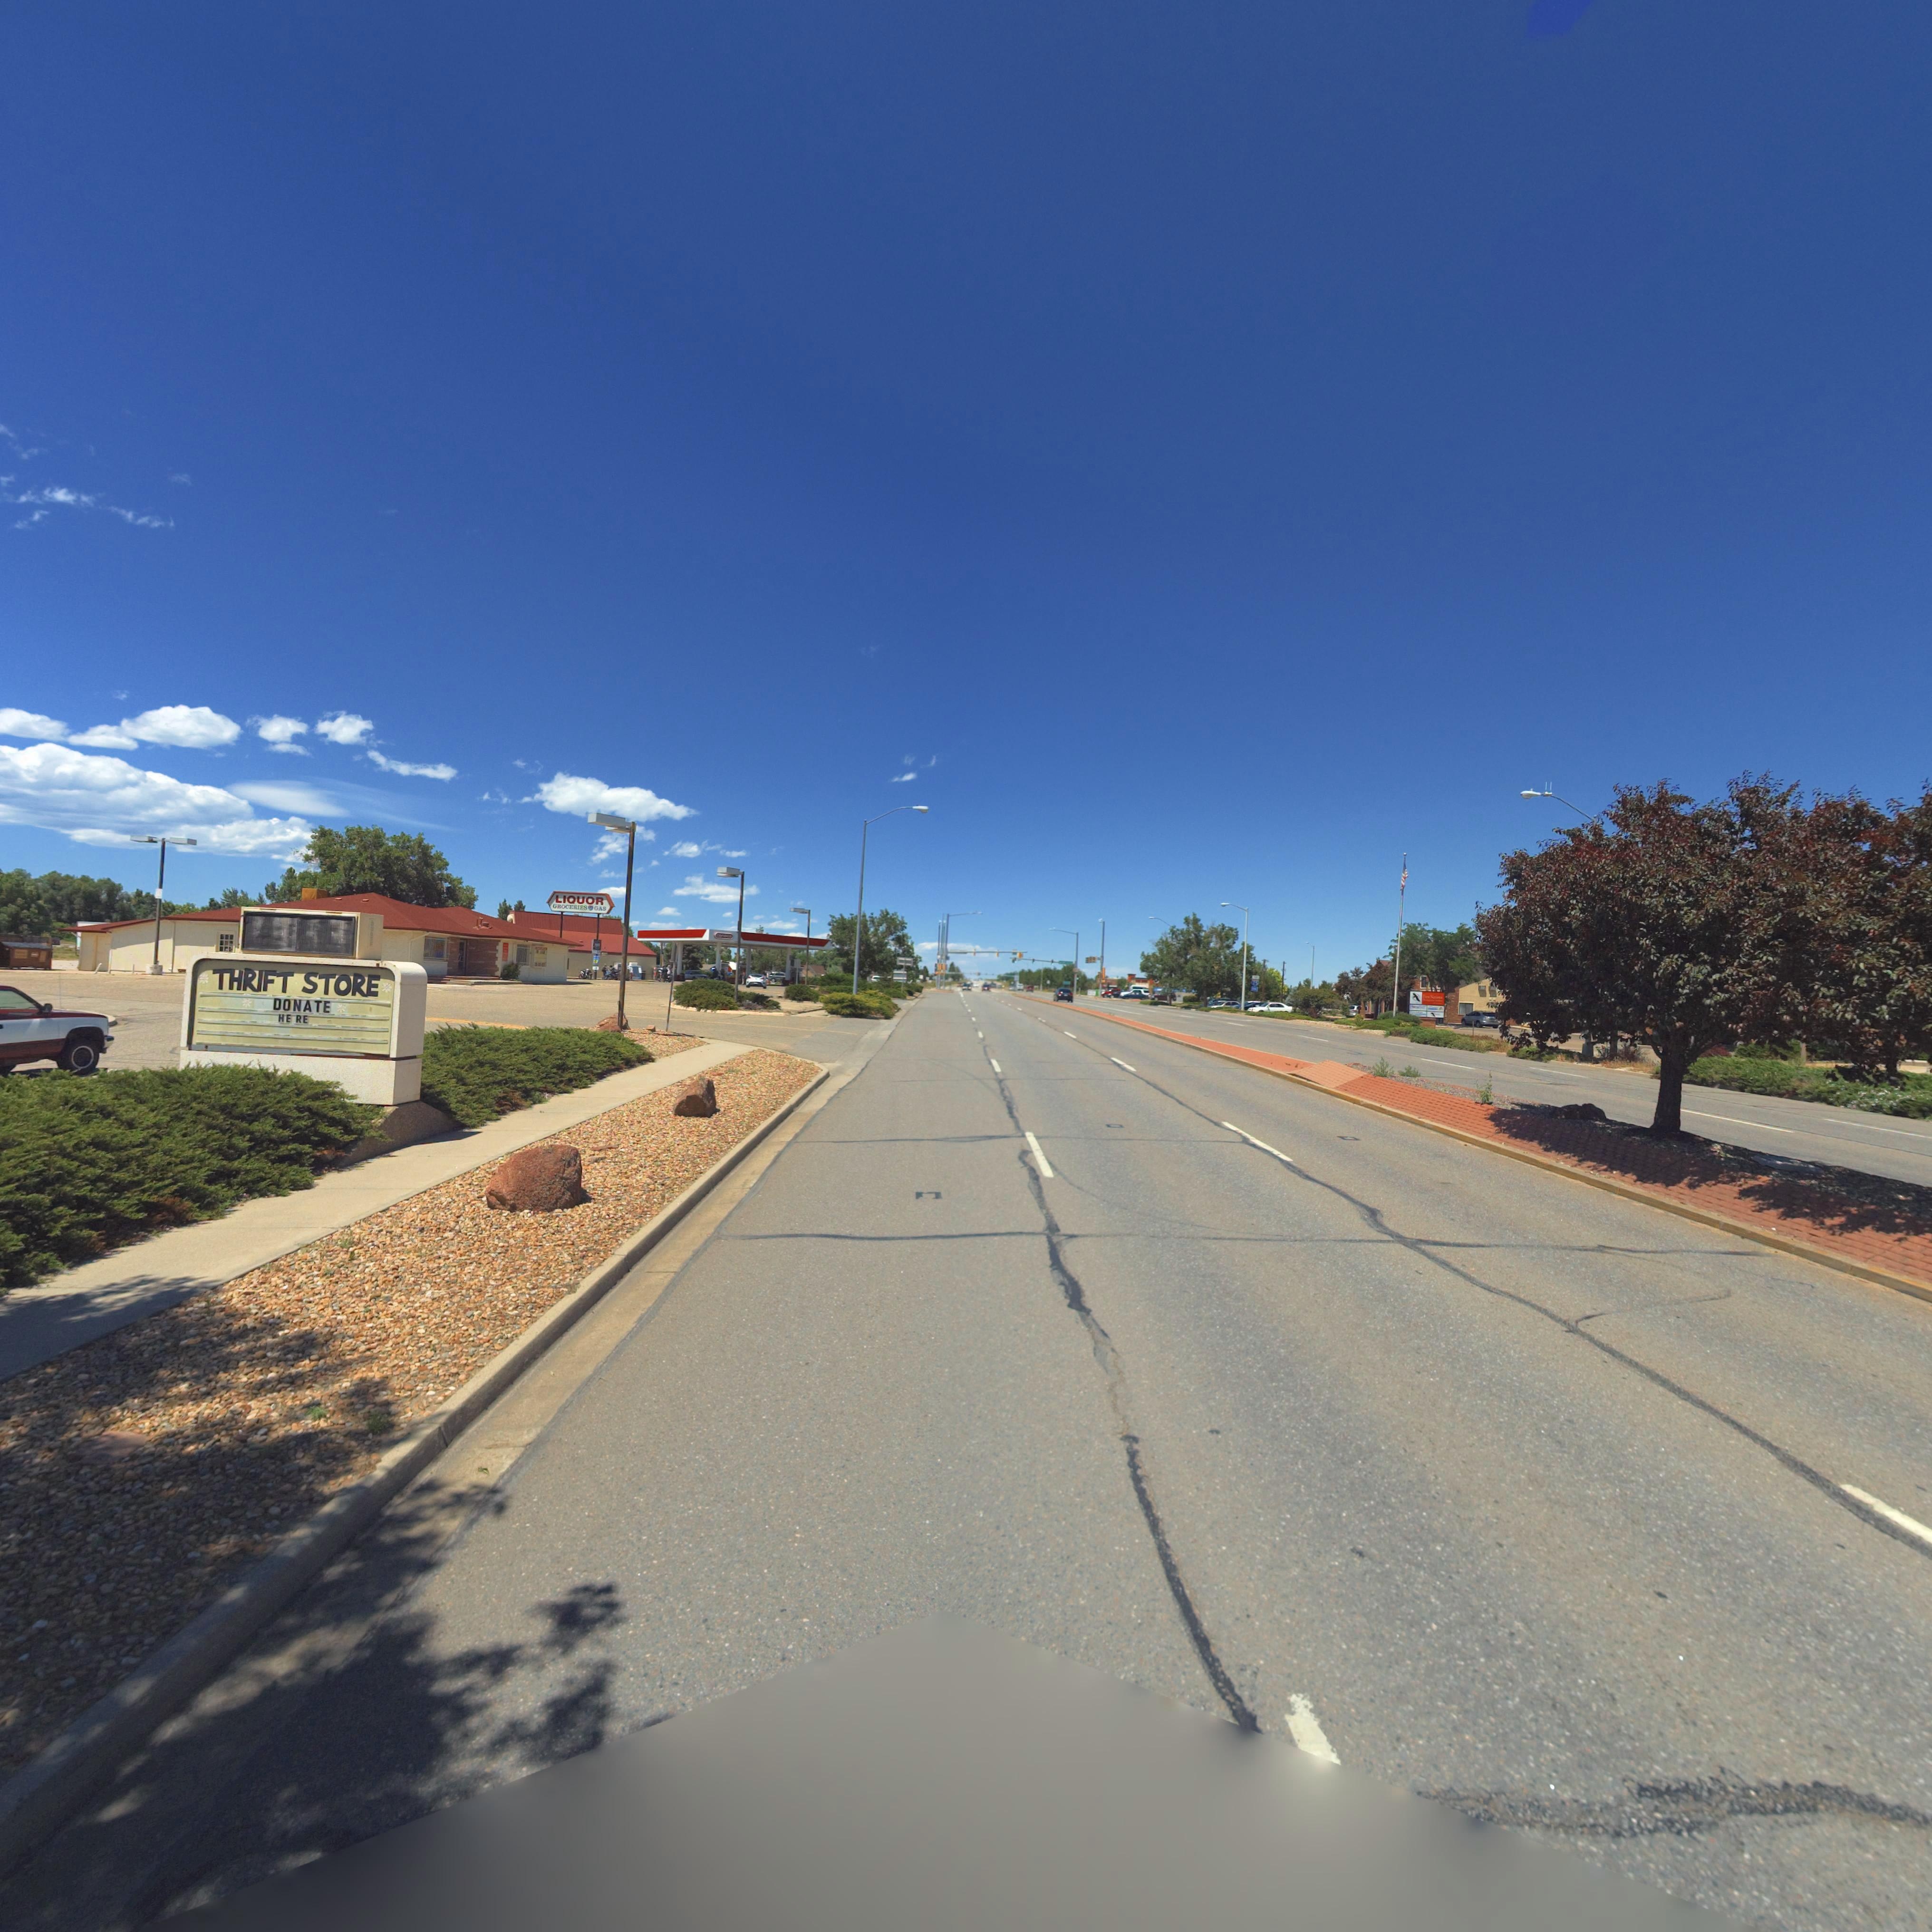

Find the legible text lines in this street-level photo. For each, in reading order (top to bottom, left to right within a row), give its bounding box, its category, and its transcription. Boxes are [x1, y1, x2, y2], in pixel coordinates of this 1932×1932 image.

[716, 934, 732, 938] BusinessName: conoco
[211, 967, 381, 998] BusinessName: THRIFT STORE
[1422, 994, 1443, 999] BusinessName: First Na******